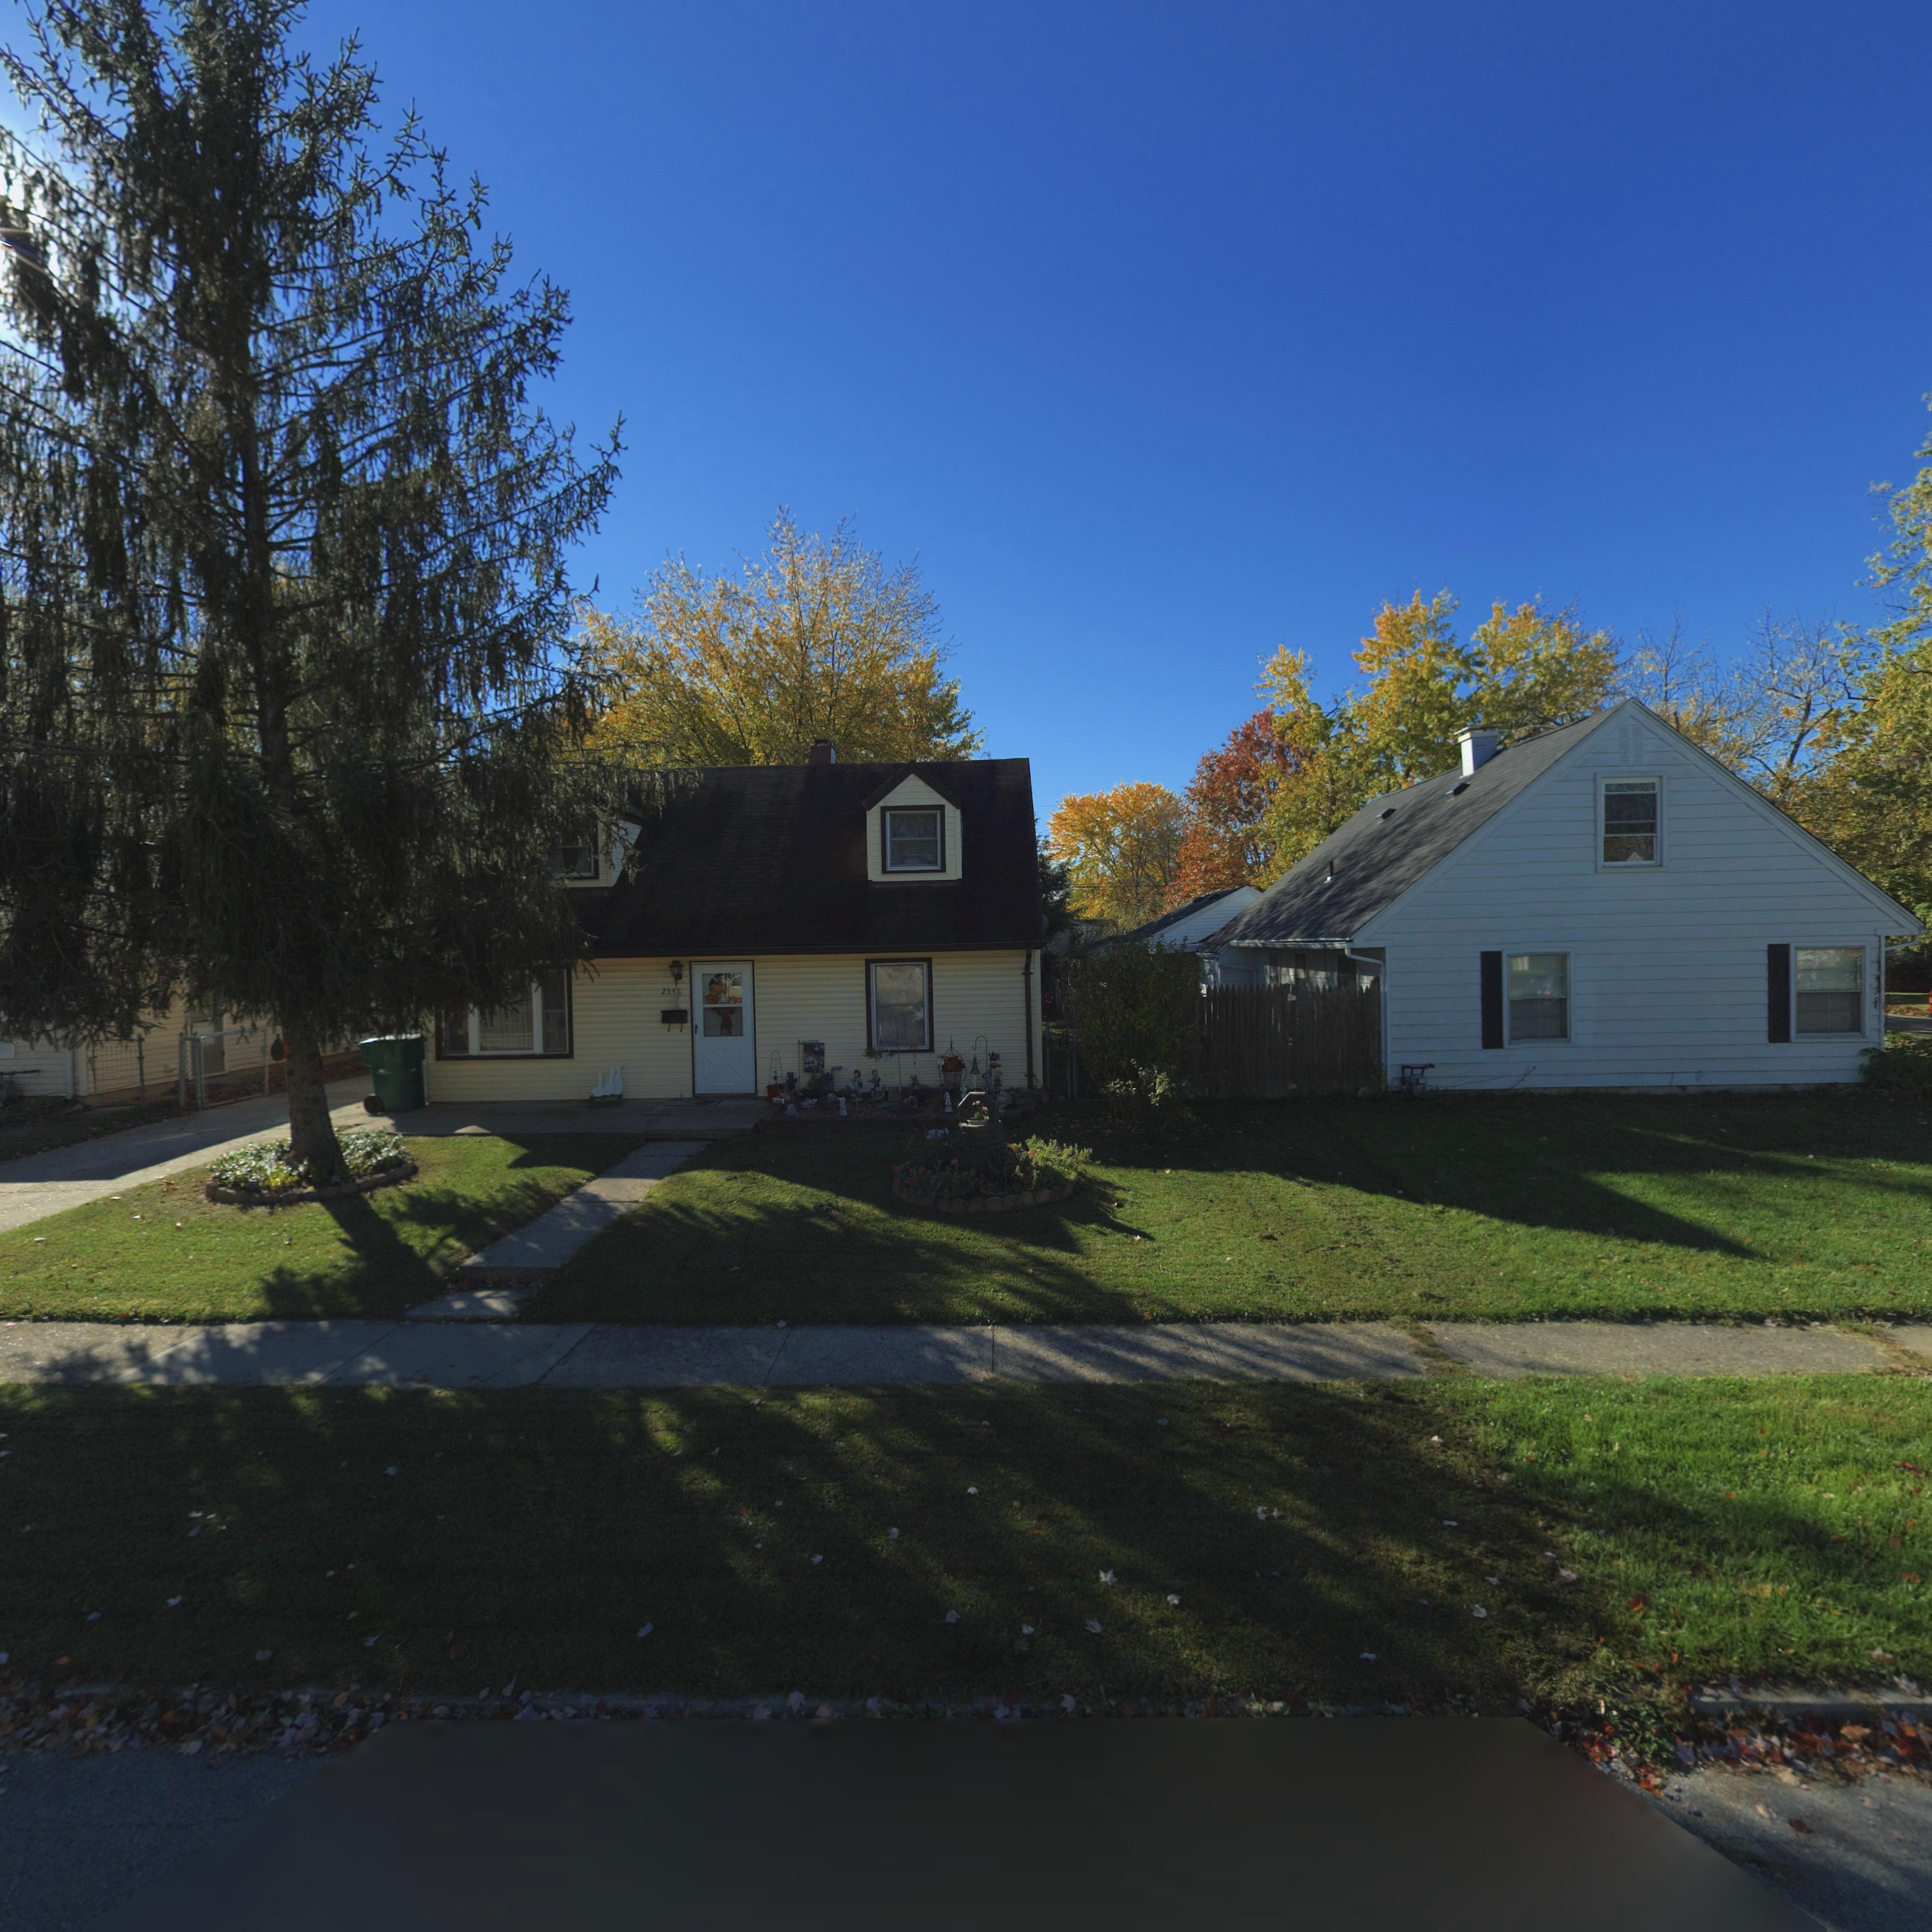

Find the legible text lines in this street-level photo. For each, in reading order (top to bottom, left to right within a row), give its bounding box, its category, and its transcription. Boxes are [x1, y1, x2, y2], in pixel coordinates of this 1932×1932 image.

[661, 987, 671, 995] StreetNumber: 23